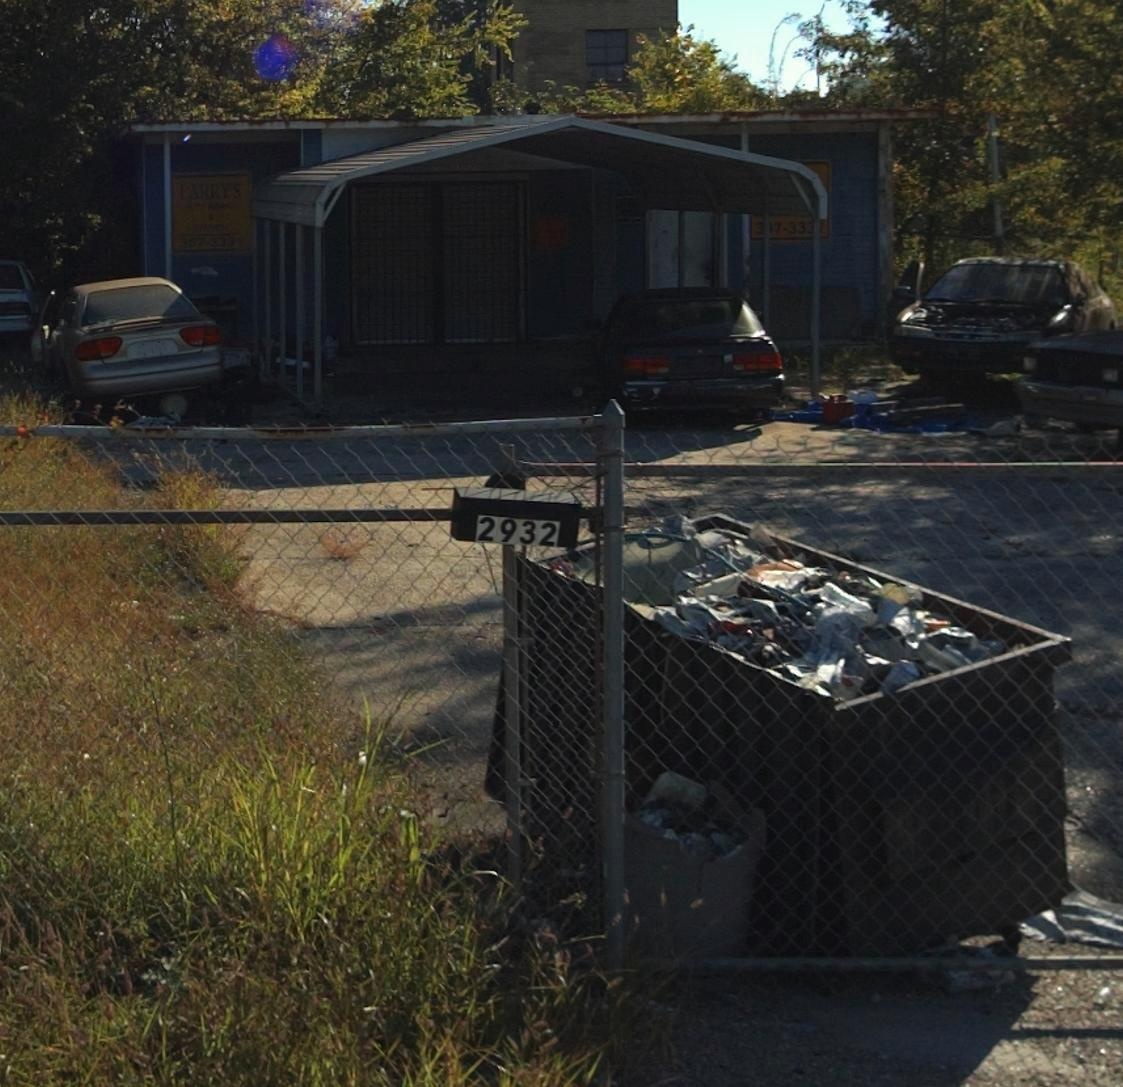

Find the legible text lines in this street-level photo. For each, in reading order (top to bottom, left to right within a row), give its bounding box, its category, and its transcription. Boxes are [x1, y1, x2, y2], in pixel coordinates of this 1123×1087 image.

[752, 219, 766, 237] None: 3
[772, 218, 817, 237] None: 7-333
[474, 513, 561, 549] StreetNumber: 2932